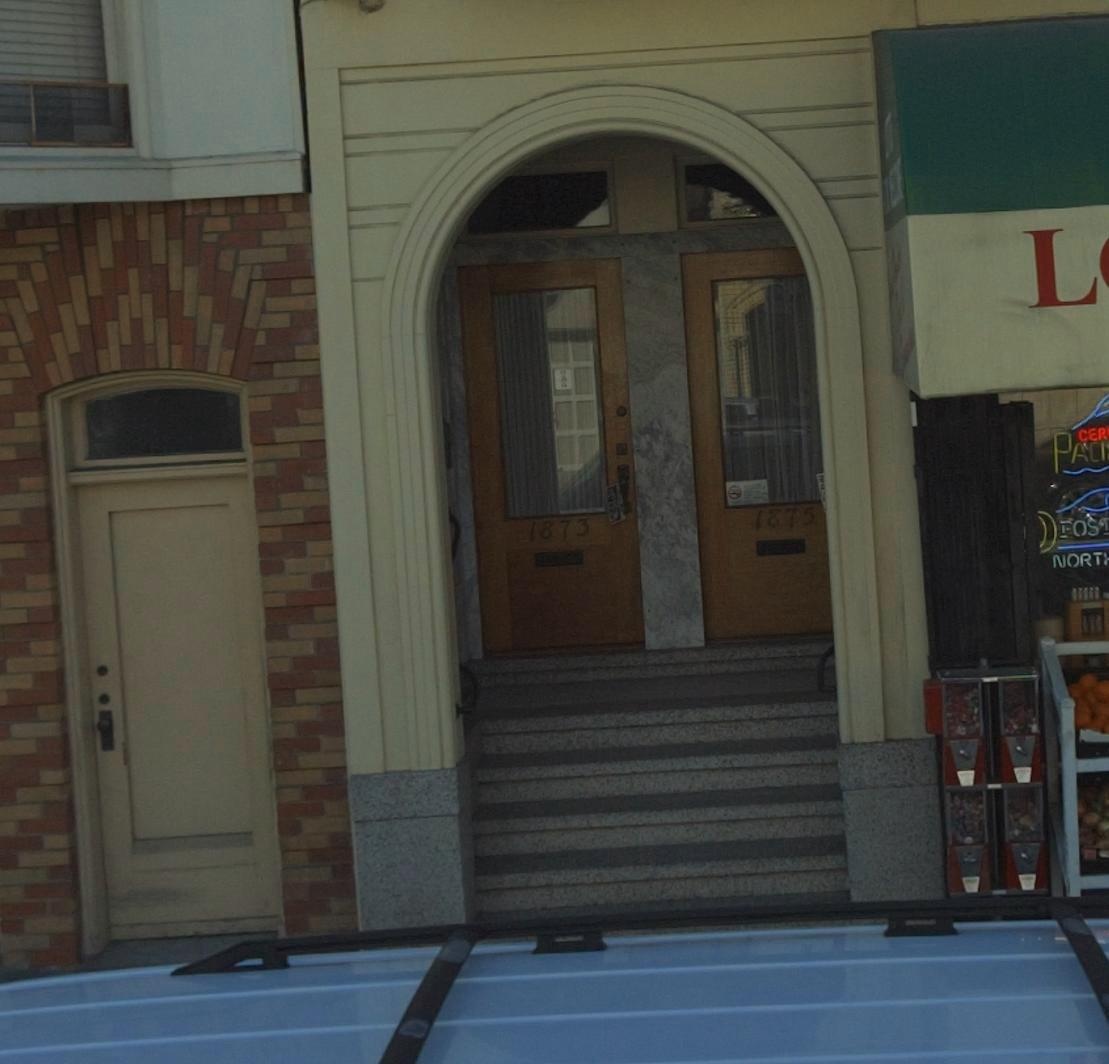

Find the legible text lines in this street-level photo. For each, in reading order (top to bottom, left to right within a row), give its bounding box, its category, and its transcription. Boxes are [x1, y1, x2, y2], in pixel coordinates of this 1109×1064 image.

[1020, 226, 1102, 311] None: L
[1073, 425, 1108, 444] None: CER
[1051, 430, 1073, 478] None: P
[526, 516, 592, 542] StreetNumber: 1873
[753, 504, 816, 531] StreetNumber: 1875
[1071, 516, 1100, 538] None: OS
[1051, 550, 1104, 570] None: NORT